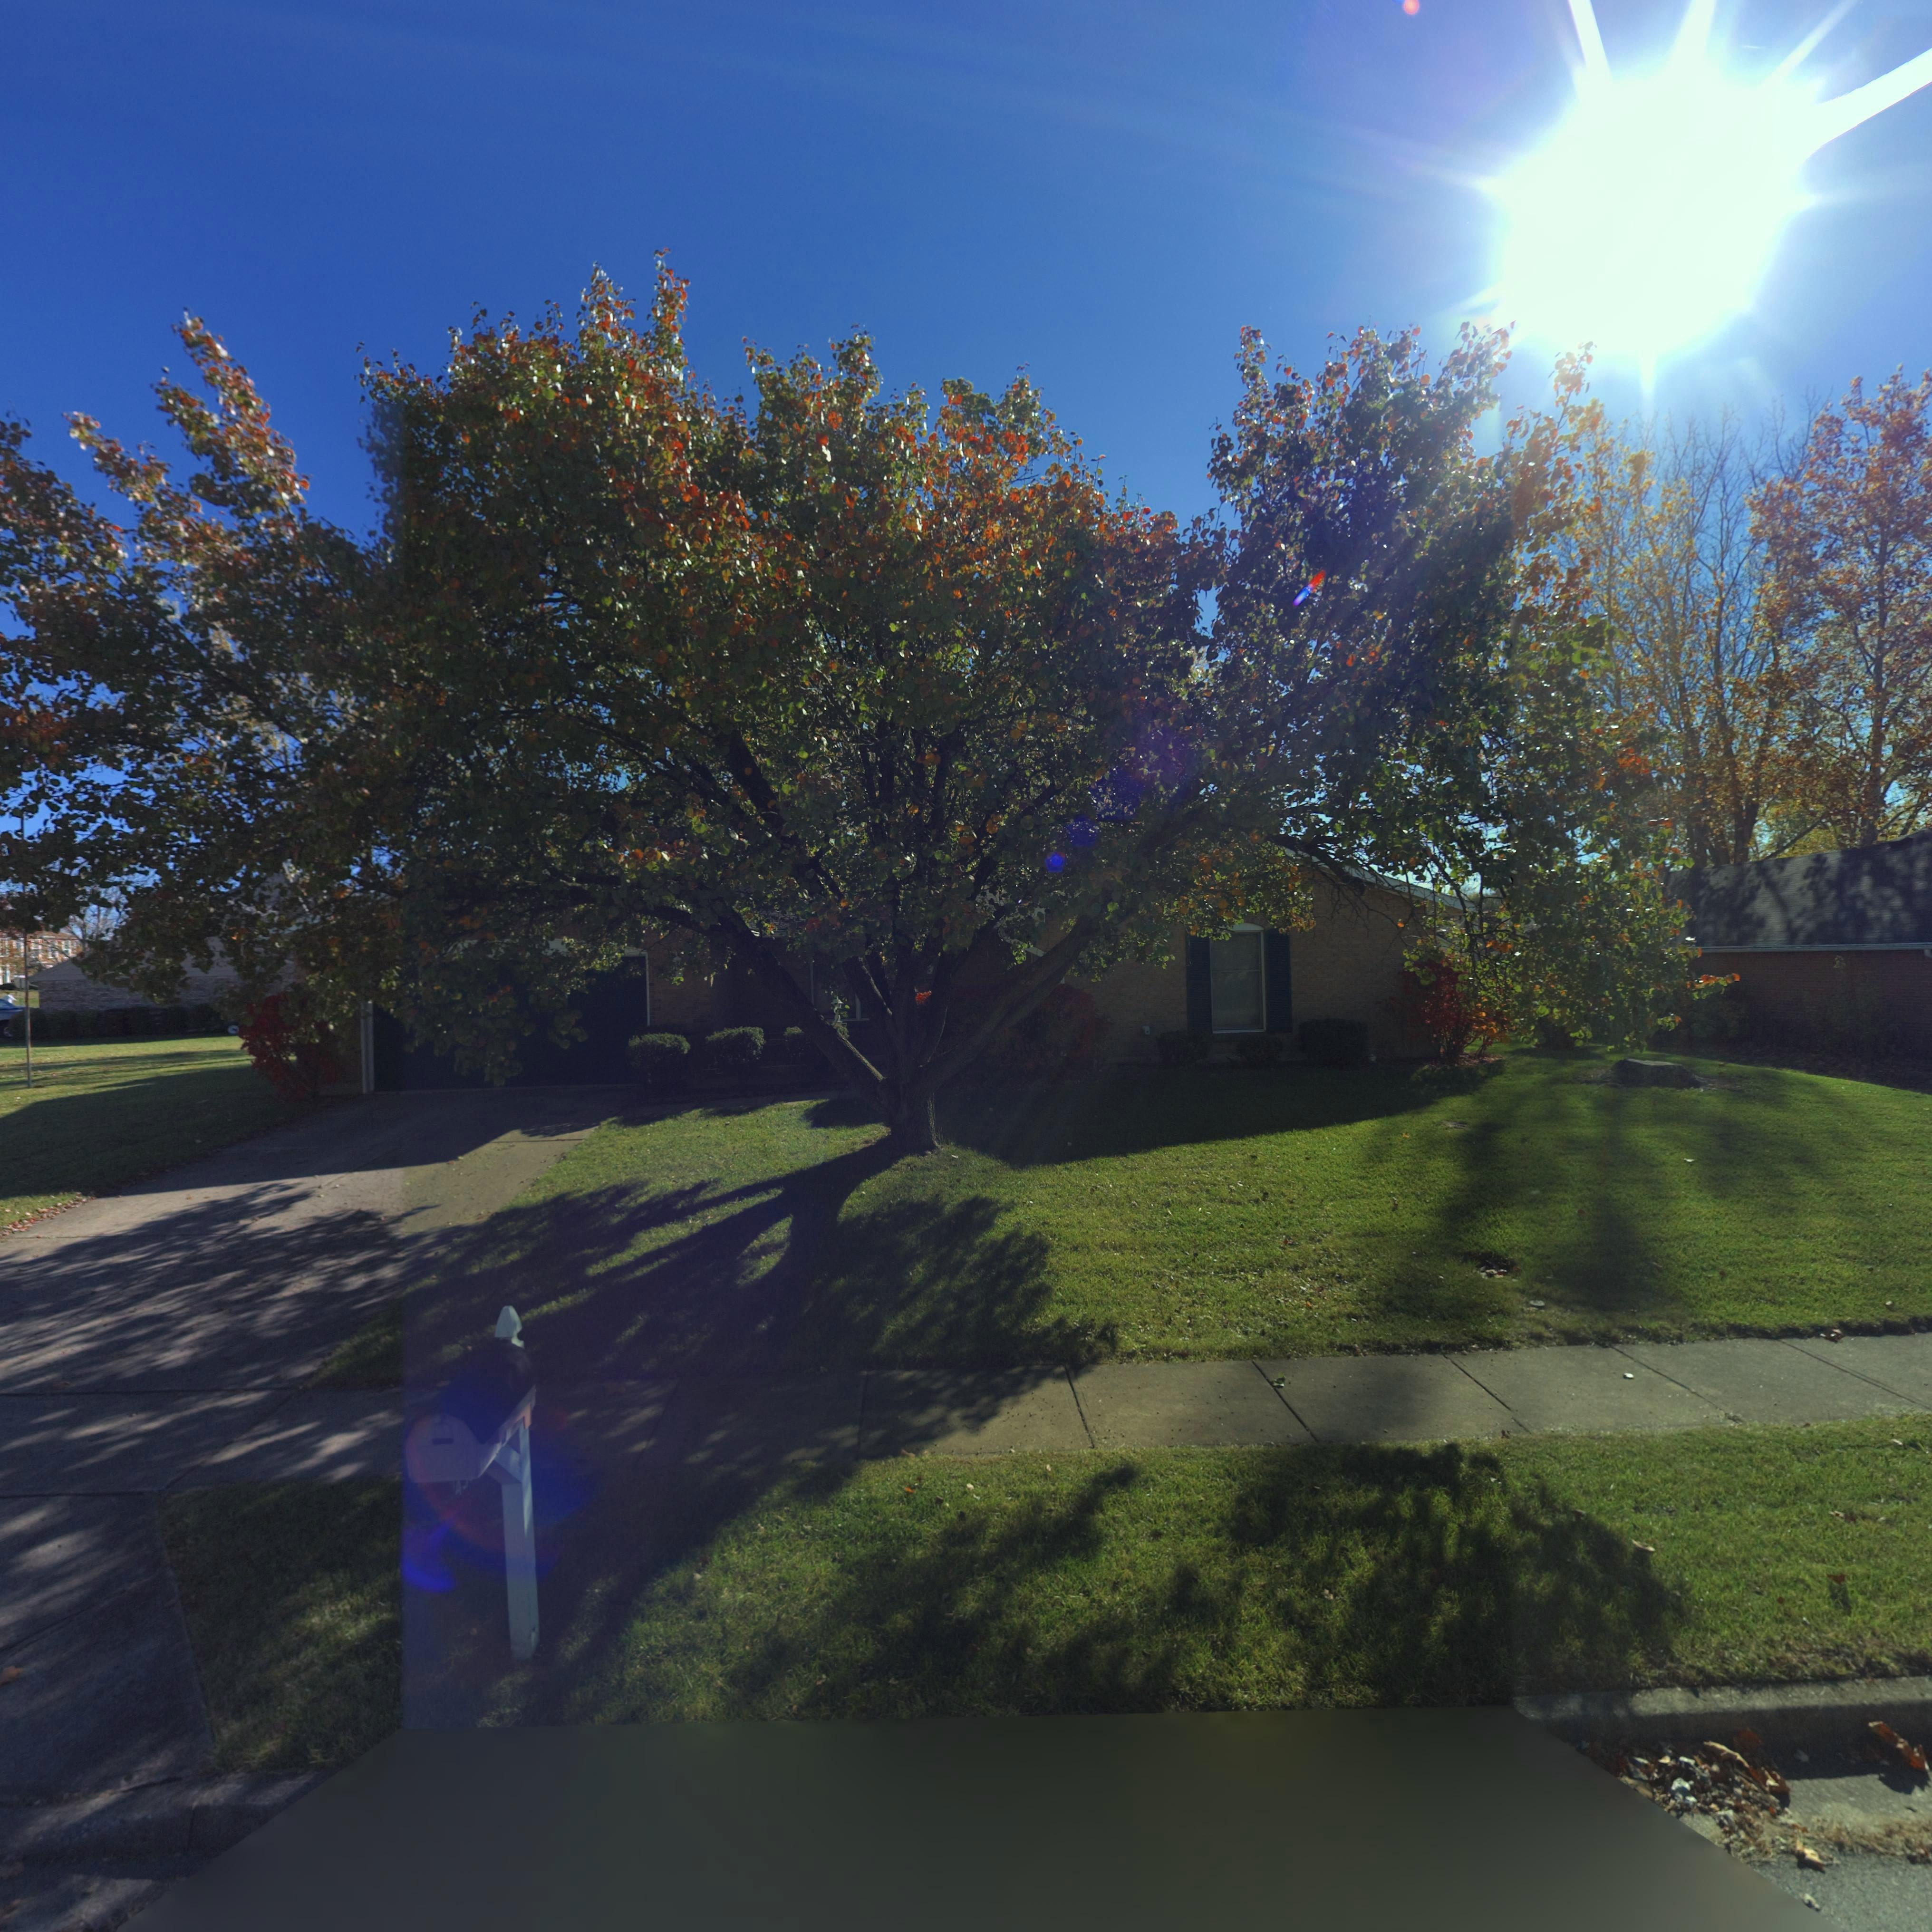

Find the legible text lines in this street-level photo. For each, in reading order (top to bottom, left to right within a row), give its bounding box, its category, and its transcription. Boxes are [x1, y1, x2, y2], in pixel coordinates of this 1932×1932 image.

[454, 1478, 463, 1496] StreetNumber: 4